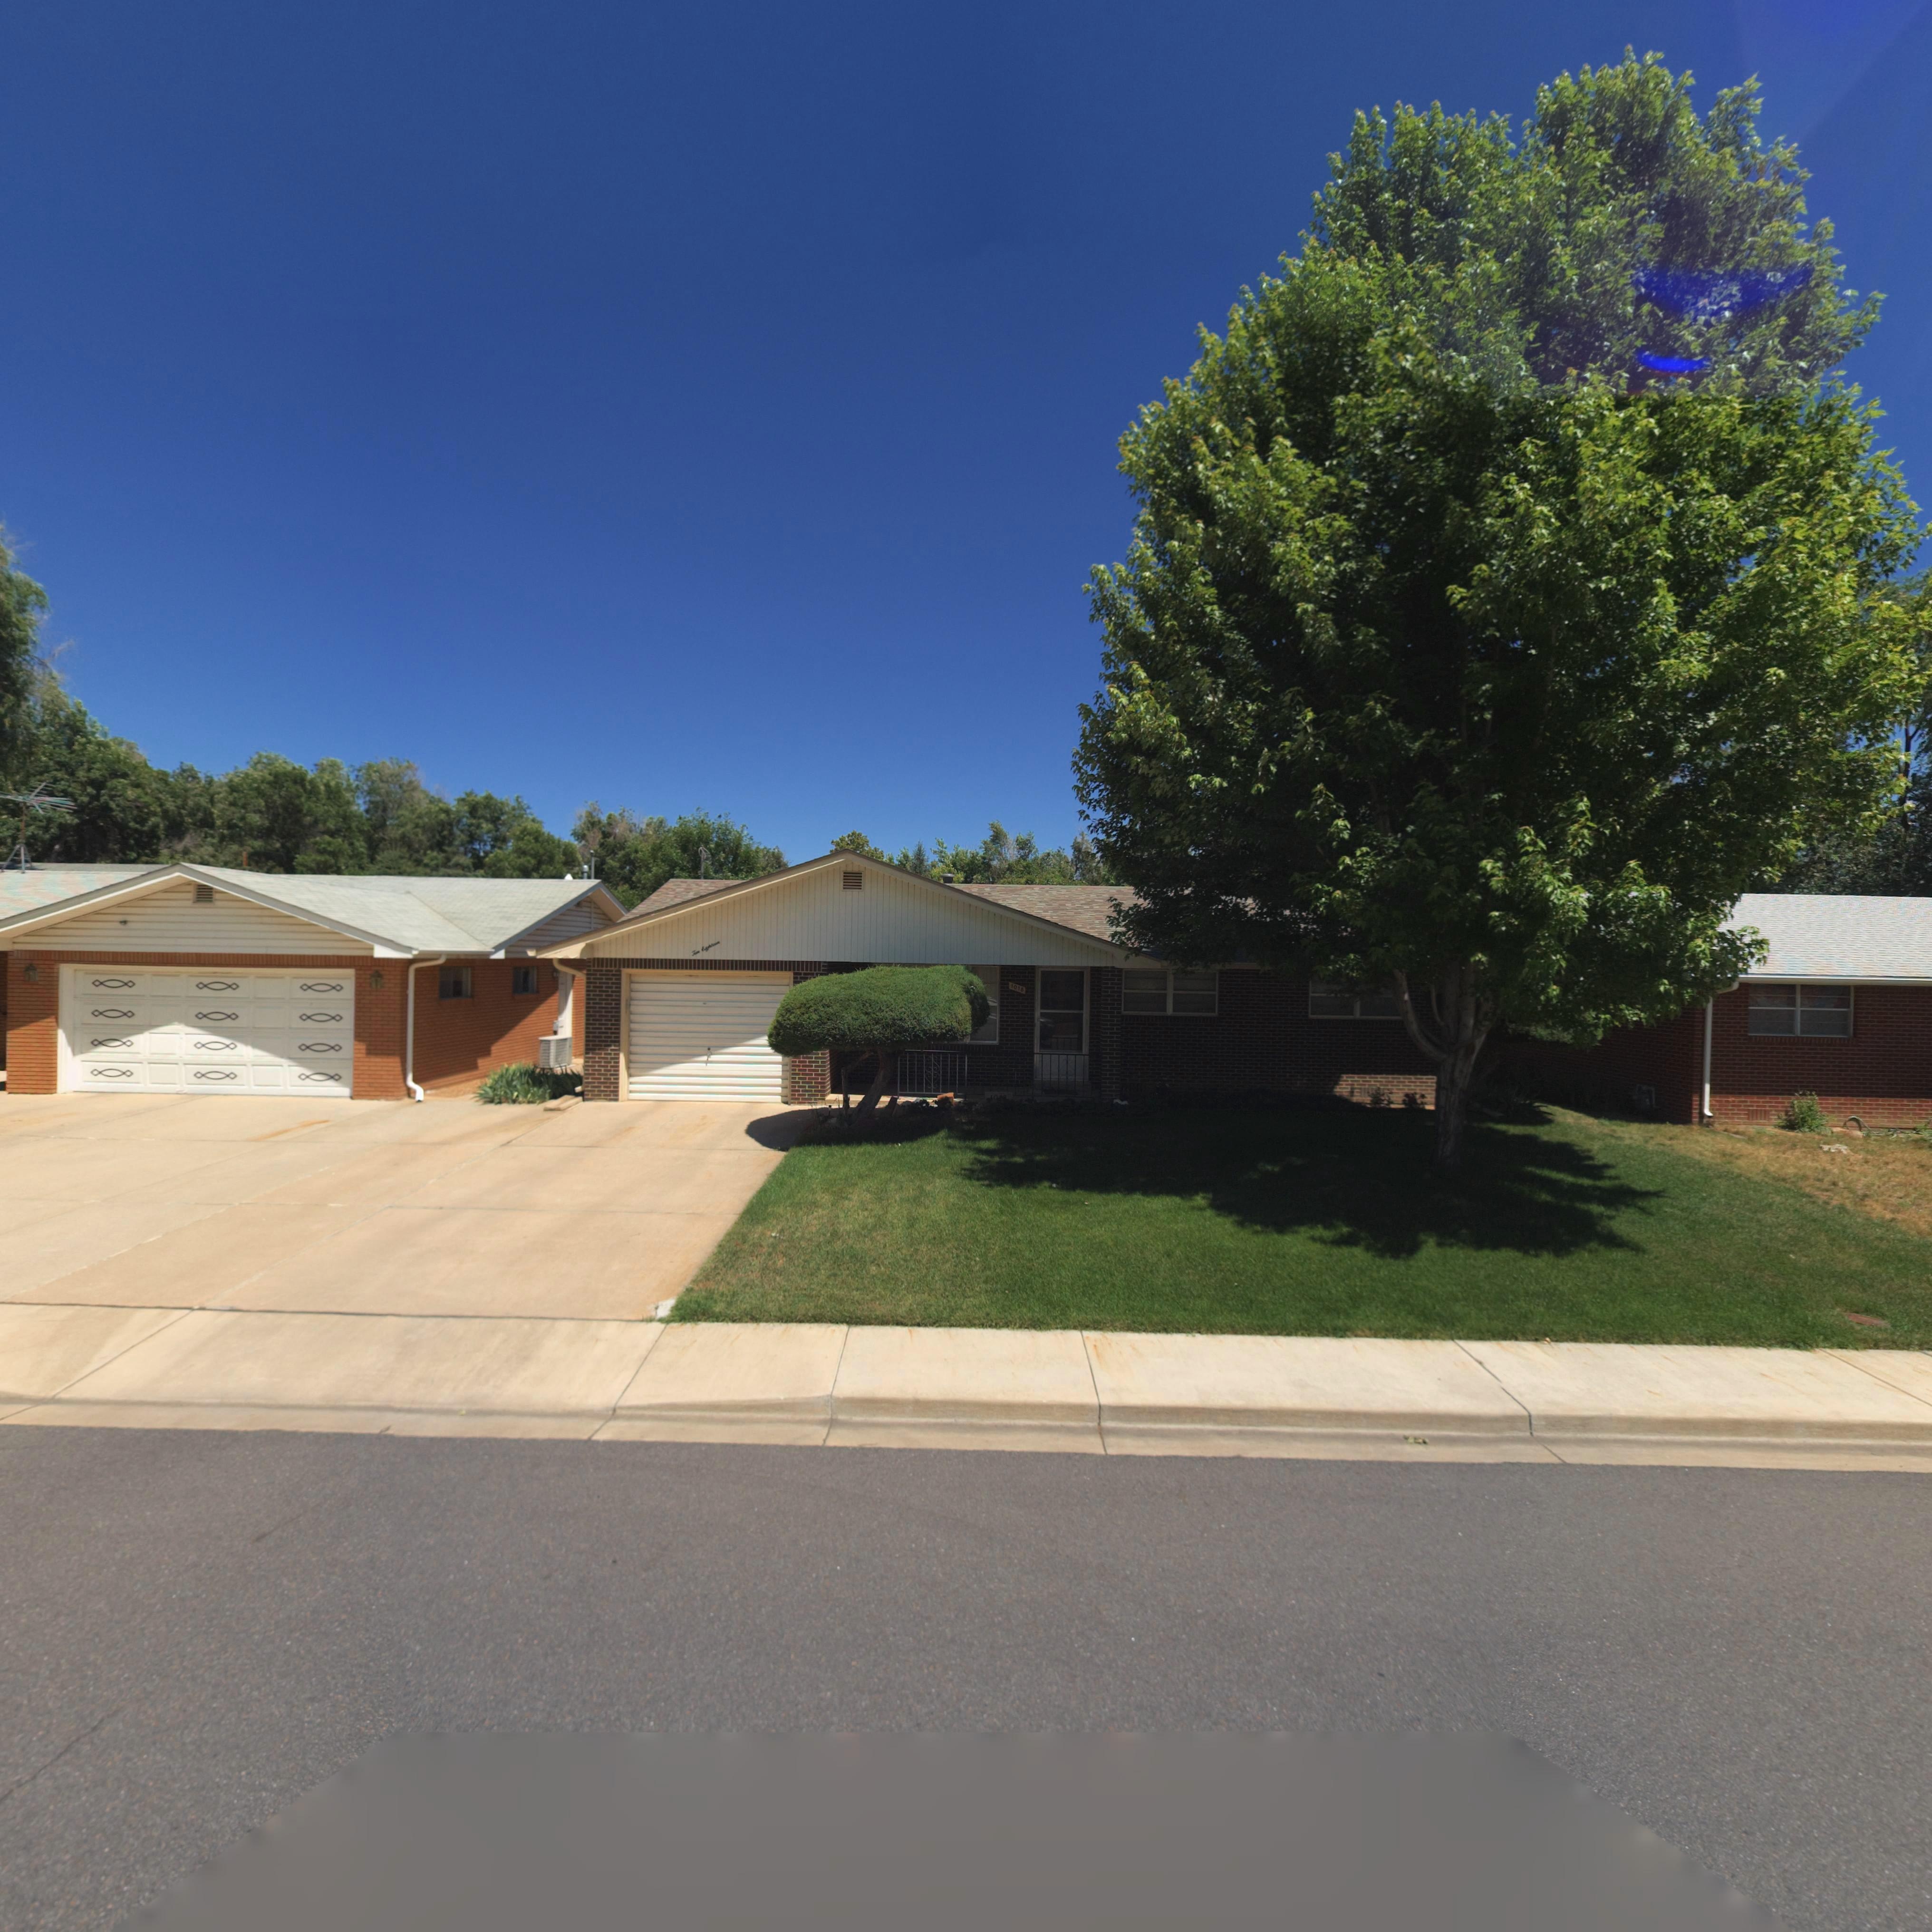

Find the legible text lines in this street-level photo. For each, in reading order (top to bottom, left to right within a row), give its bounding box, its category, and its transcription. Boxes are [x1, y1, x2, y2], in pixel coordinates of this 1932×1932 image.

[1010, 983, 1024, 992] StreetNumber: 1018